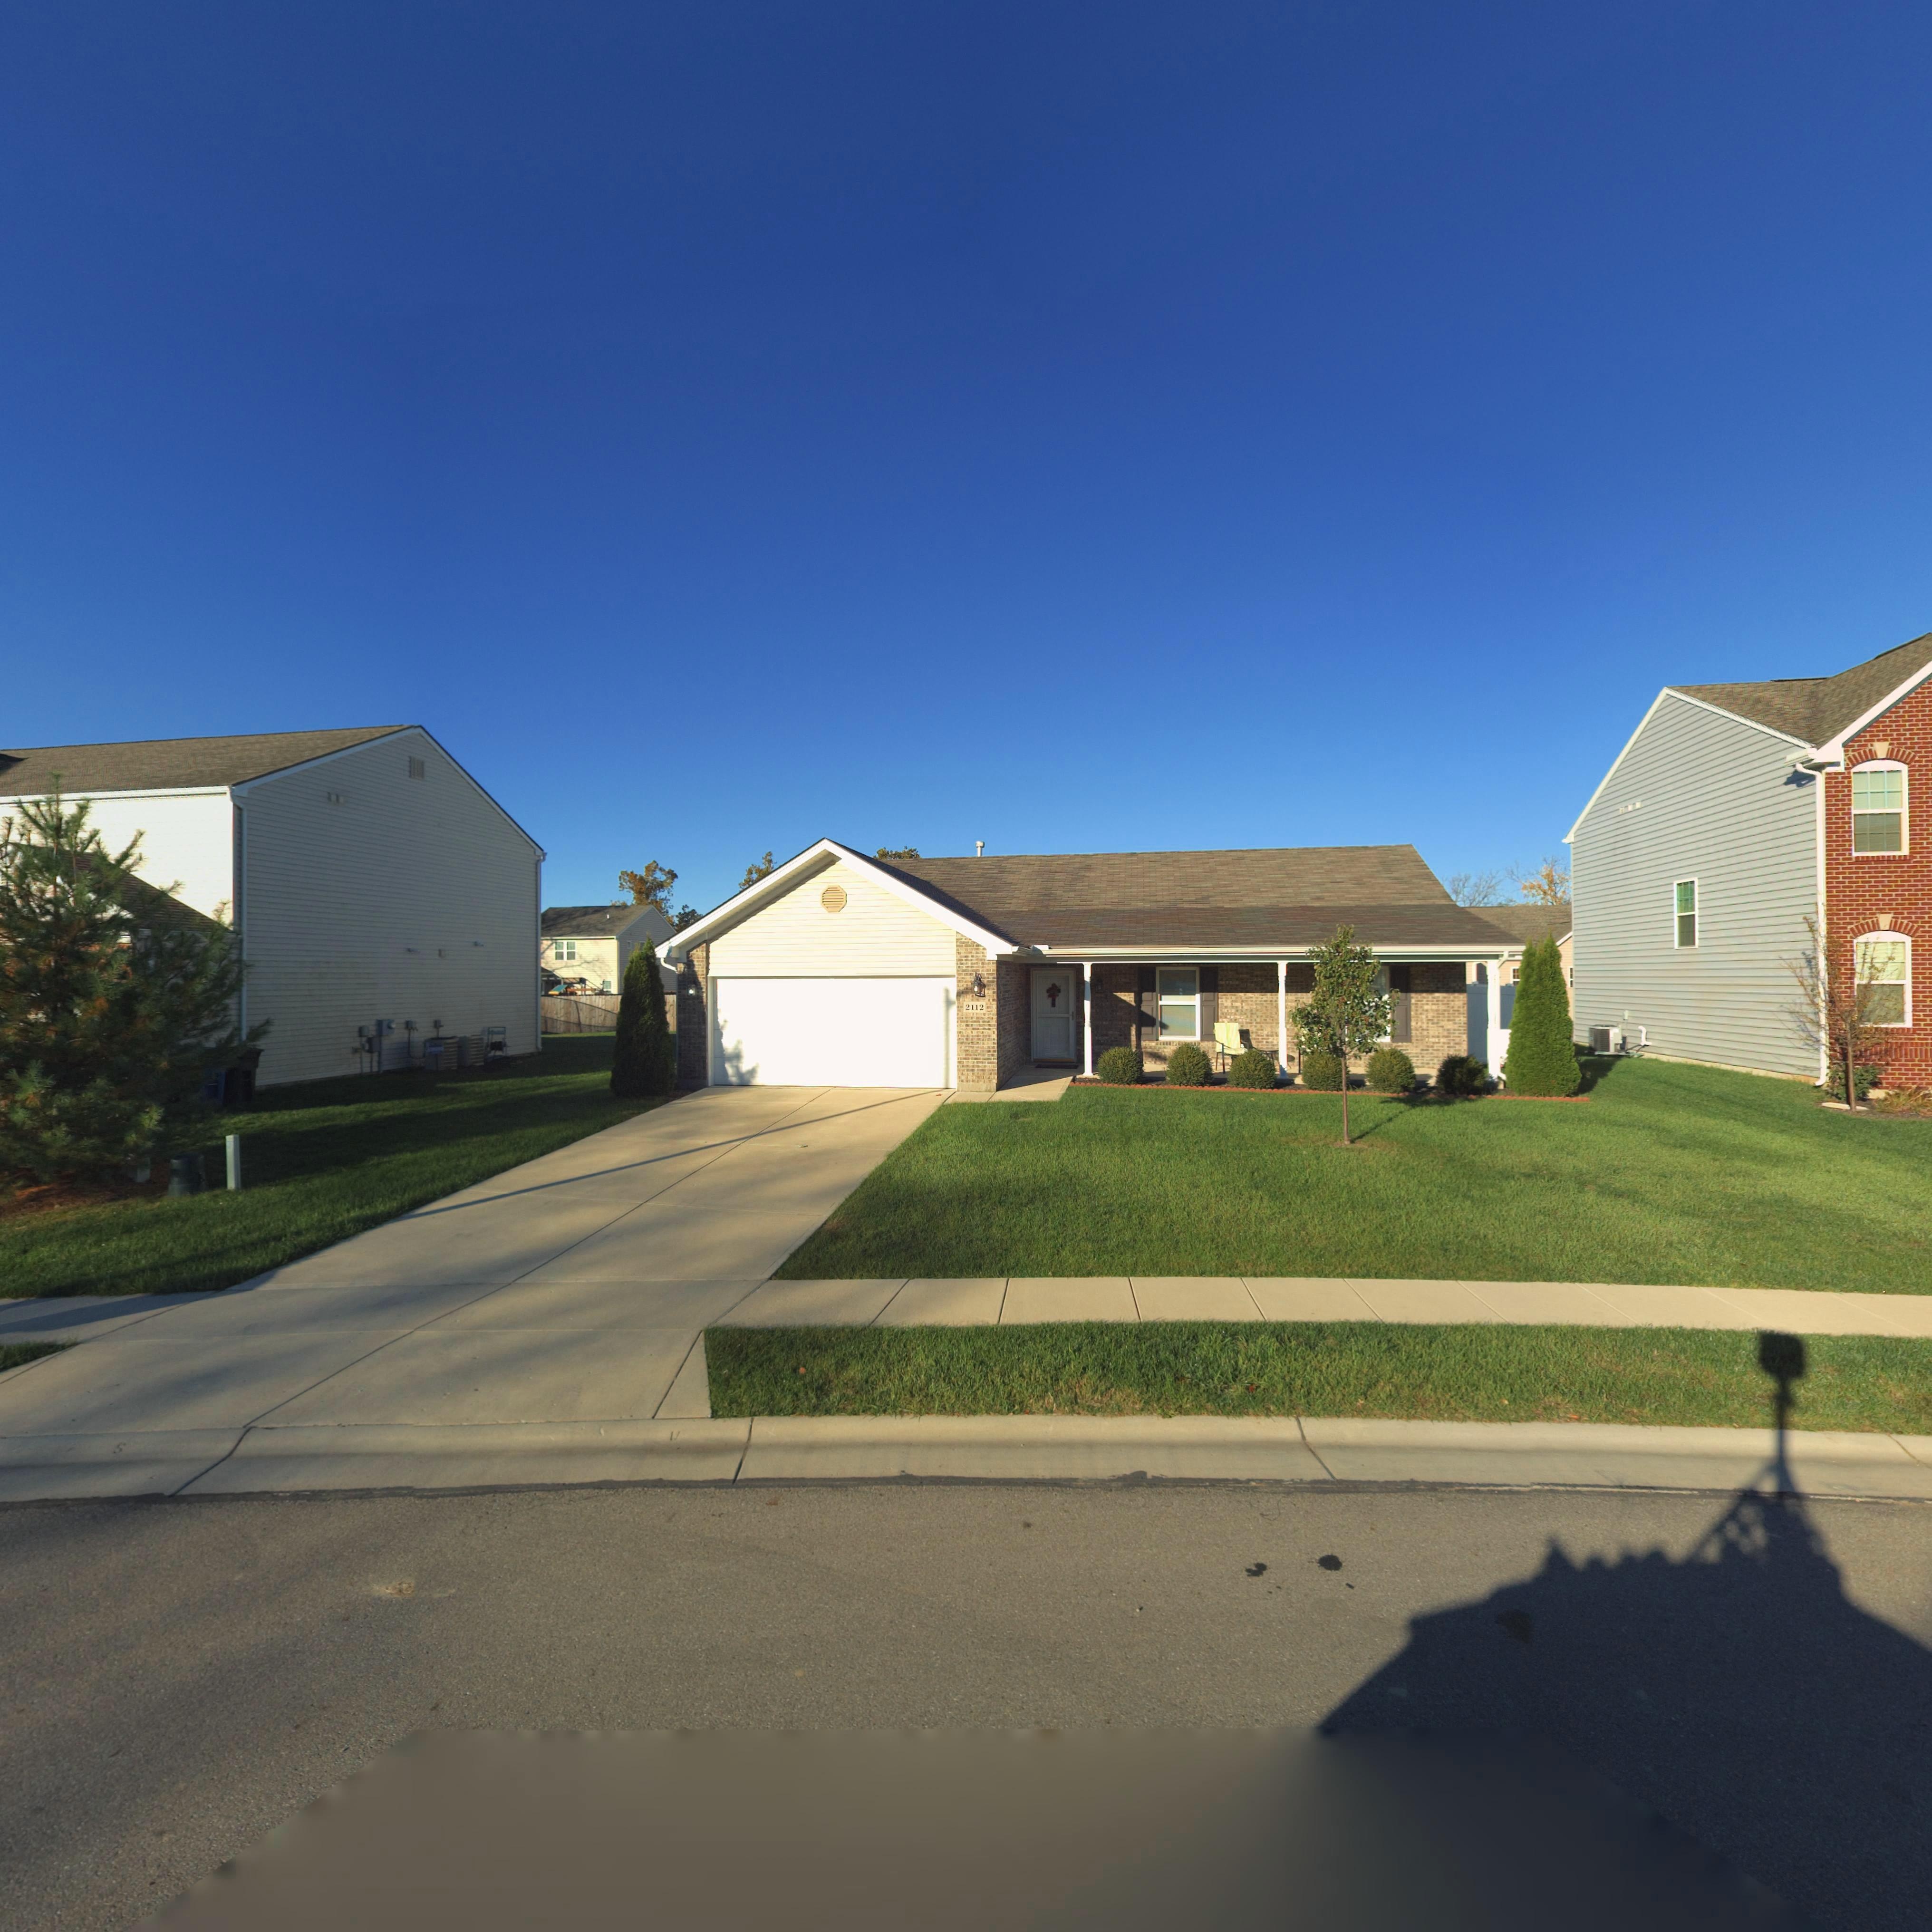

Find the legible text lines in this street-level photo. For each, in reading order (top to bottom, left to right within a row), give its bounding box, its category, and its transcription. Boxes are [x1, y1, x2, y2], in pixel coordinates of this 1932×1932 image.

[965, 1003, 985, 1012] StreetNumber: 2112